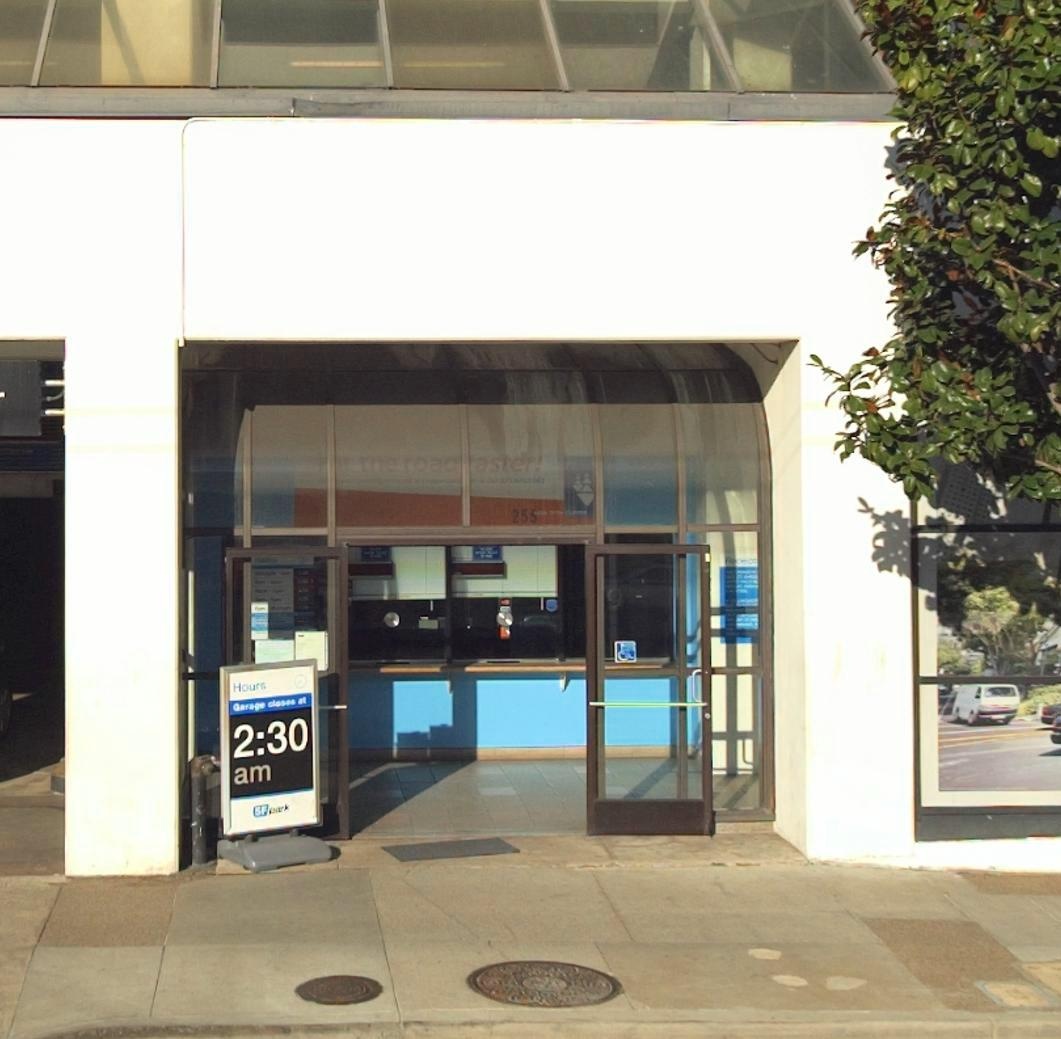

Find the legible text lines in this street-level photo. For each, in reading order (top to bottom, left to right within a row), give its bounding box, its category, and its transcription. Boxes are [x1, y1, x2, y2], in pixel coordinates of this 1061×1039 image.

[356, 453, 545, 475] None: the road*aster!
[511, 508, 539, 524] StreetNumber: 255
[232, 681, 269, 694] None: Hours
[232, 695, 308, 715] None: Garage closes at
[231, 714, 311, 762] None: 2:30
[232, 762, 274, 789] None: am
[252, 803, 290, 819] None: SF park